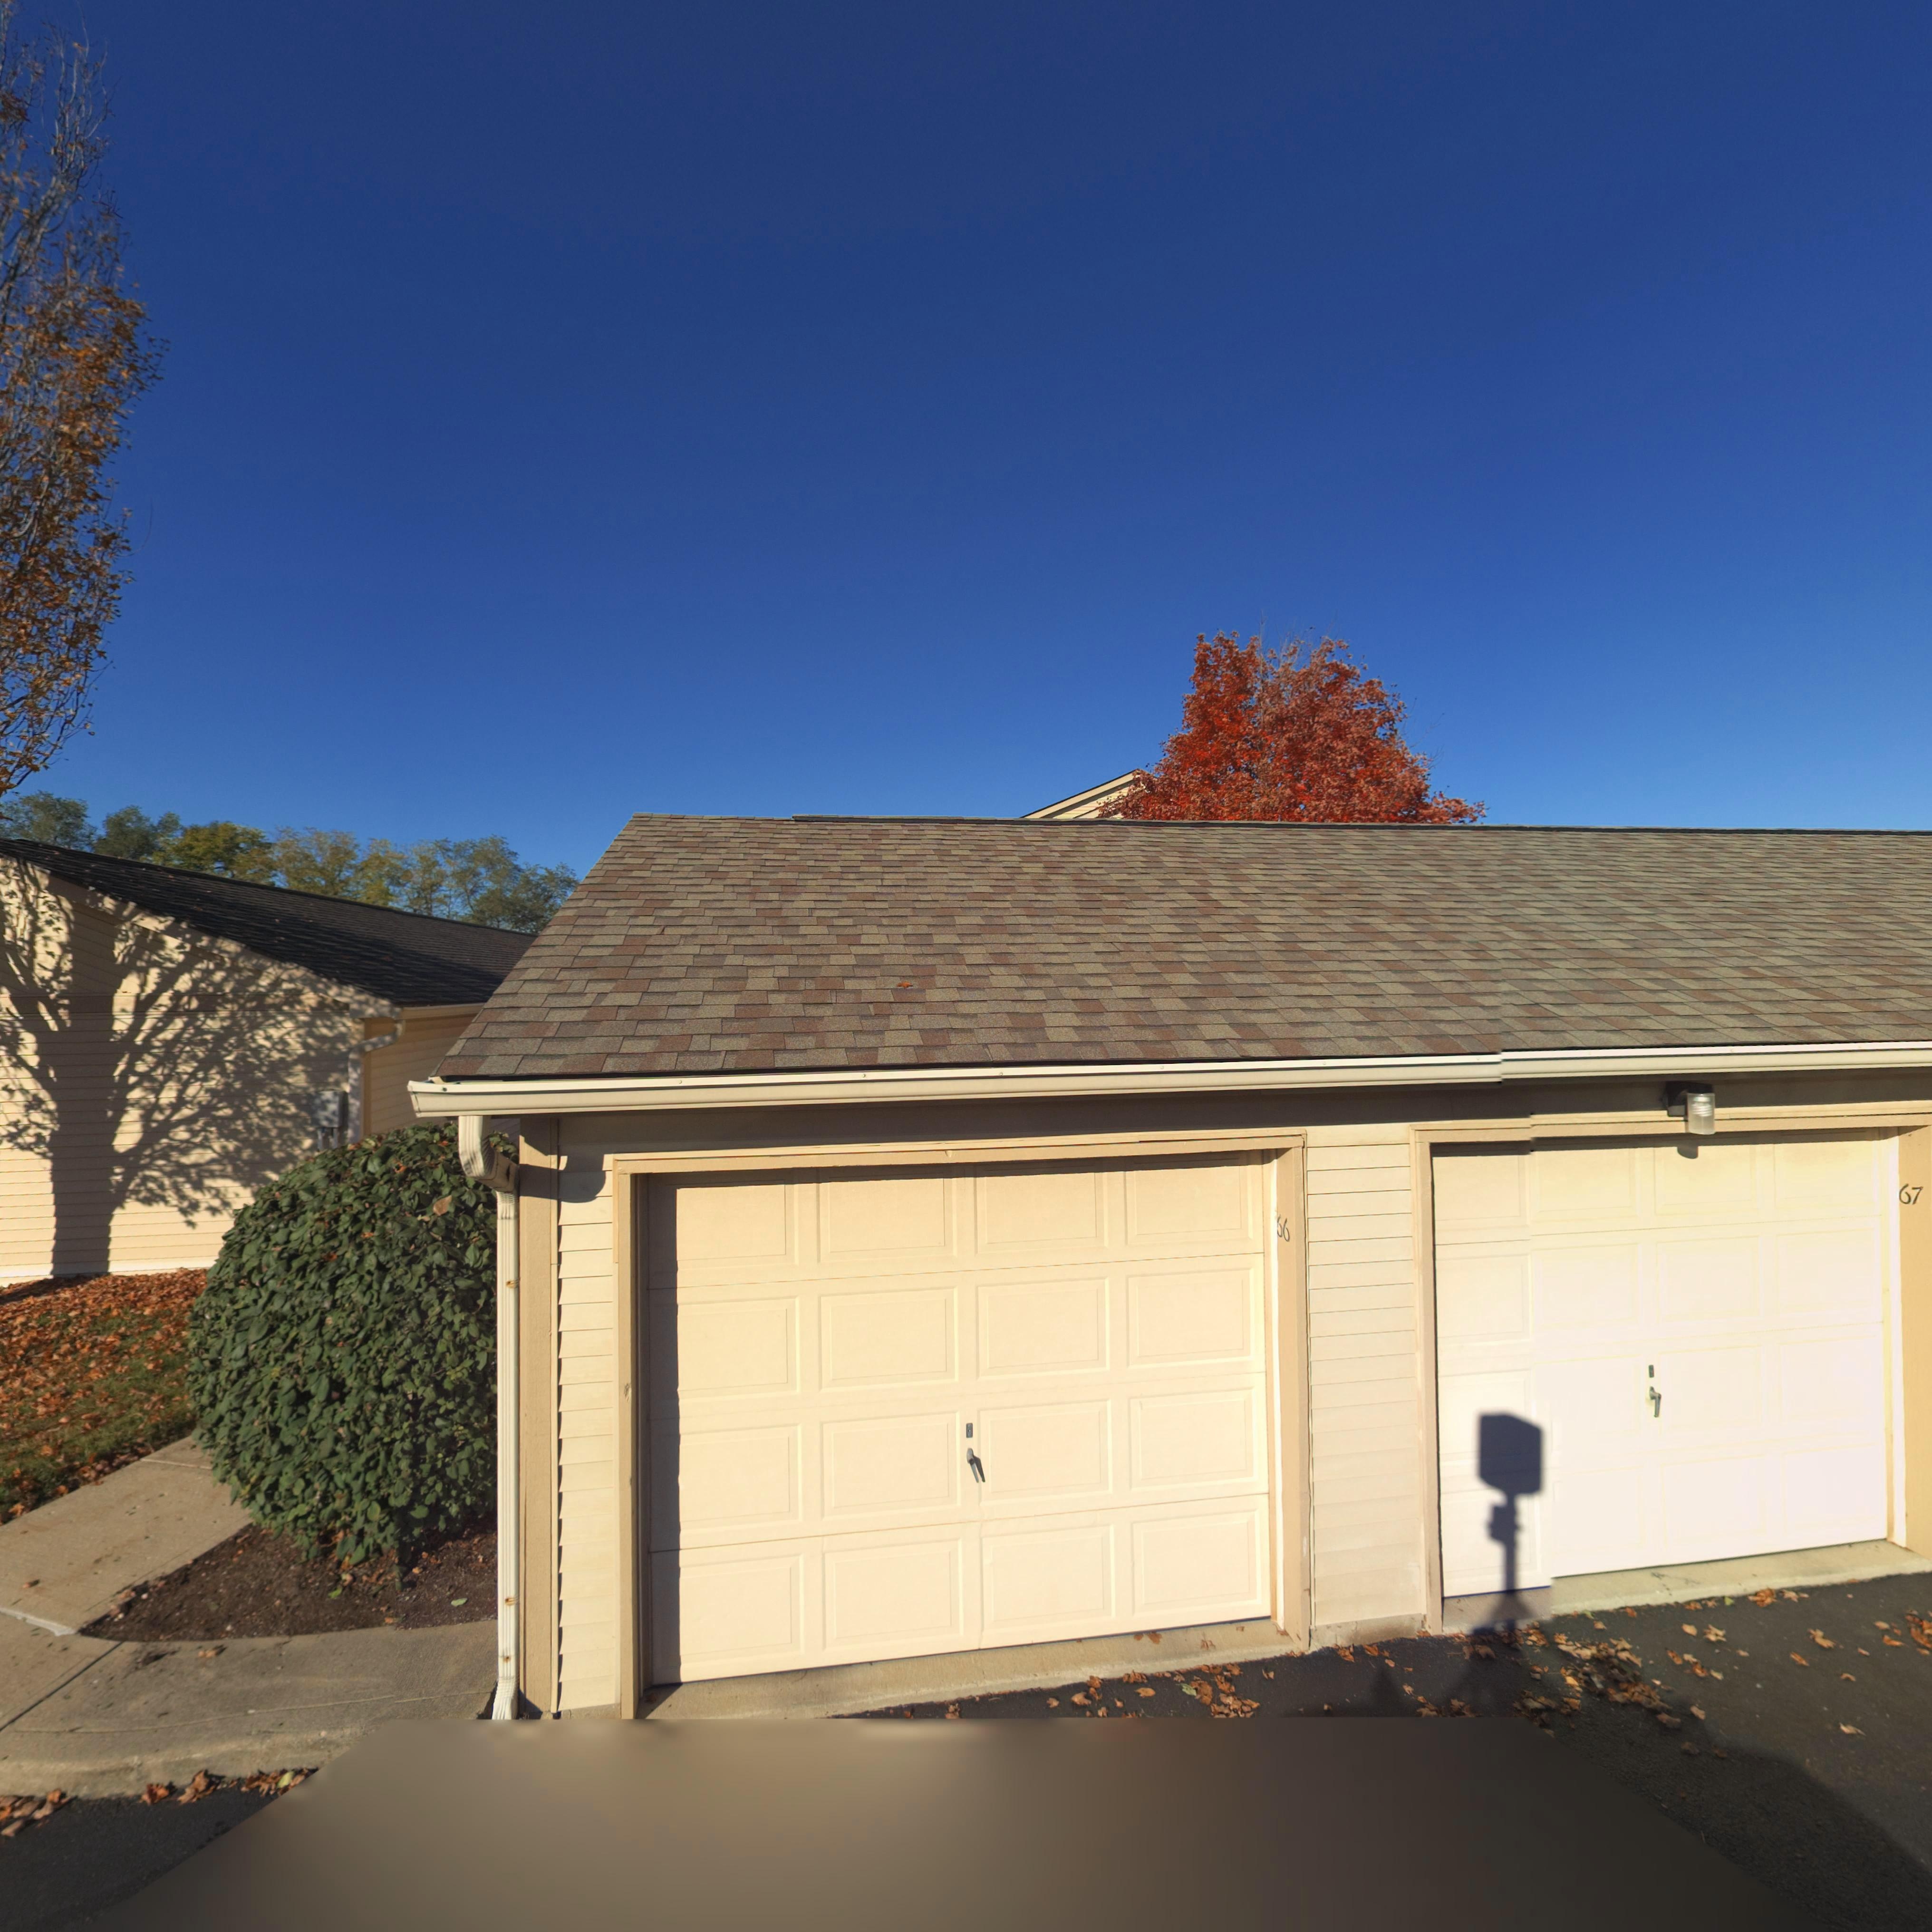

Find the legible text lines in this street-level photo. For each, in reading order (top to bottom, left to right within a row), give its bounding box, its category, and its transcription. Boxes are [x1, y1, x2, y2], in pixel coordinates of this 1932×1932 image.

[1899, 1182, 1925, 1207] StreetNumber: 67
[1275, 1212, 1293, 1243] StreetNumber: 66